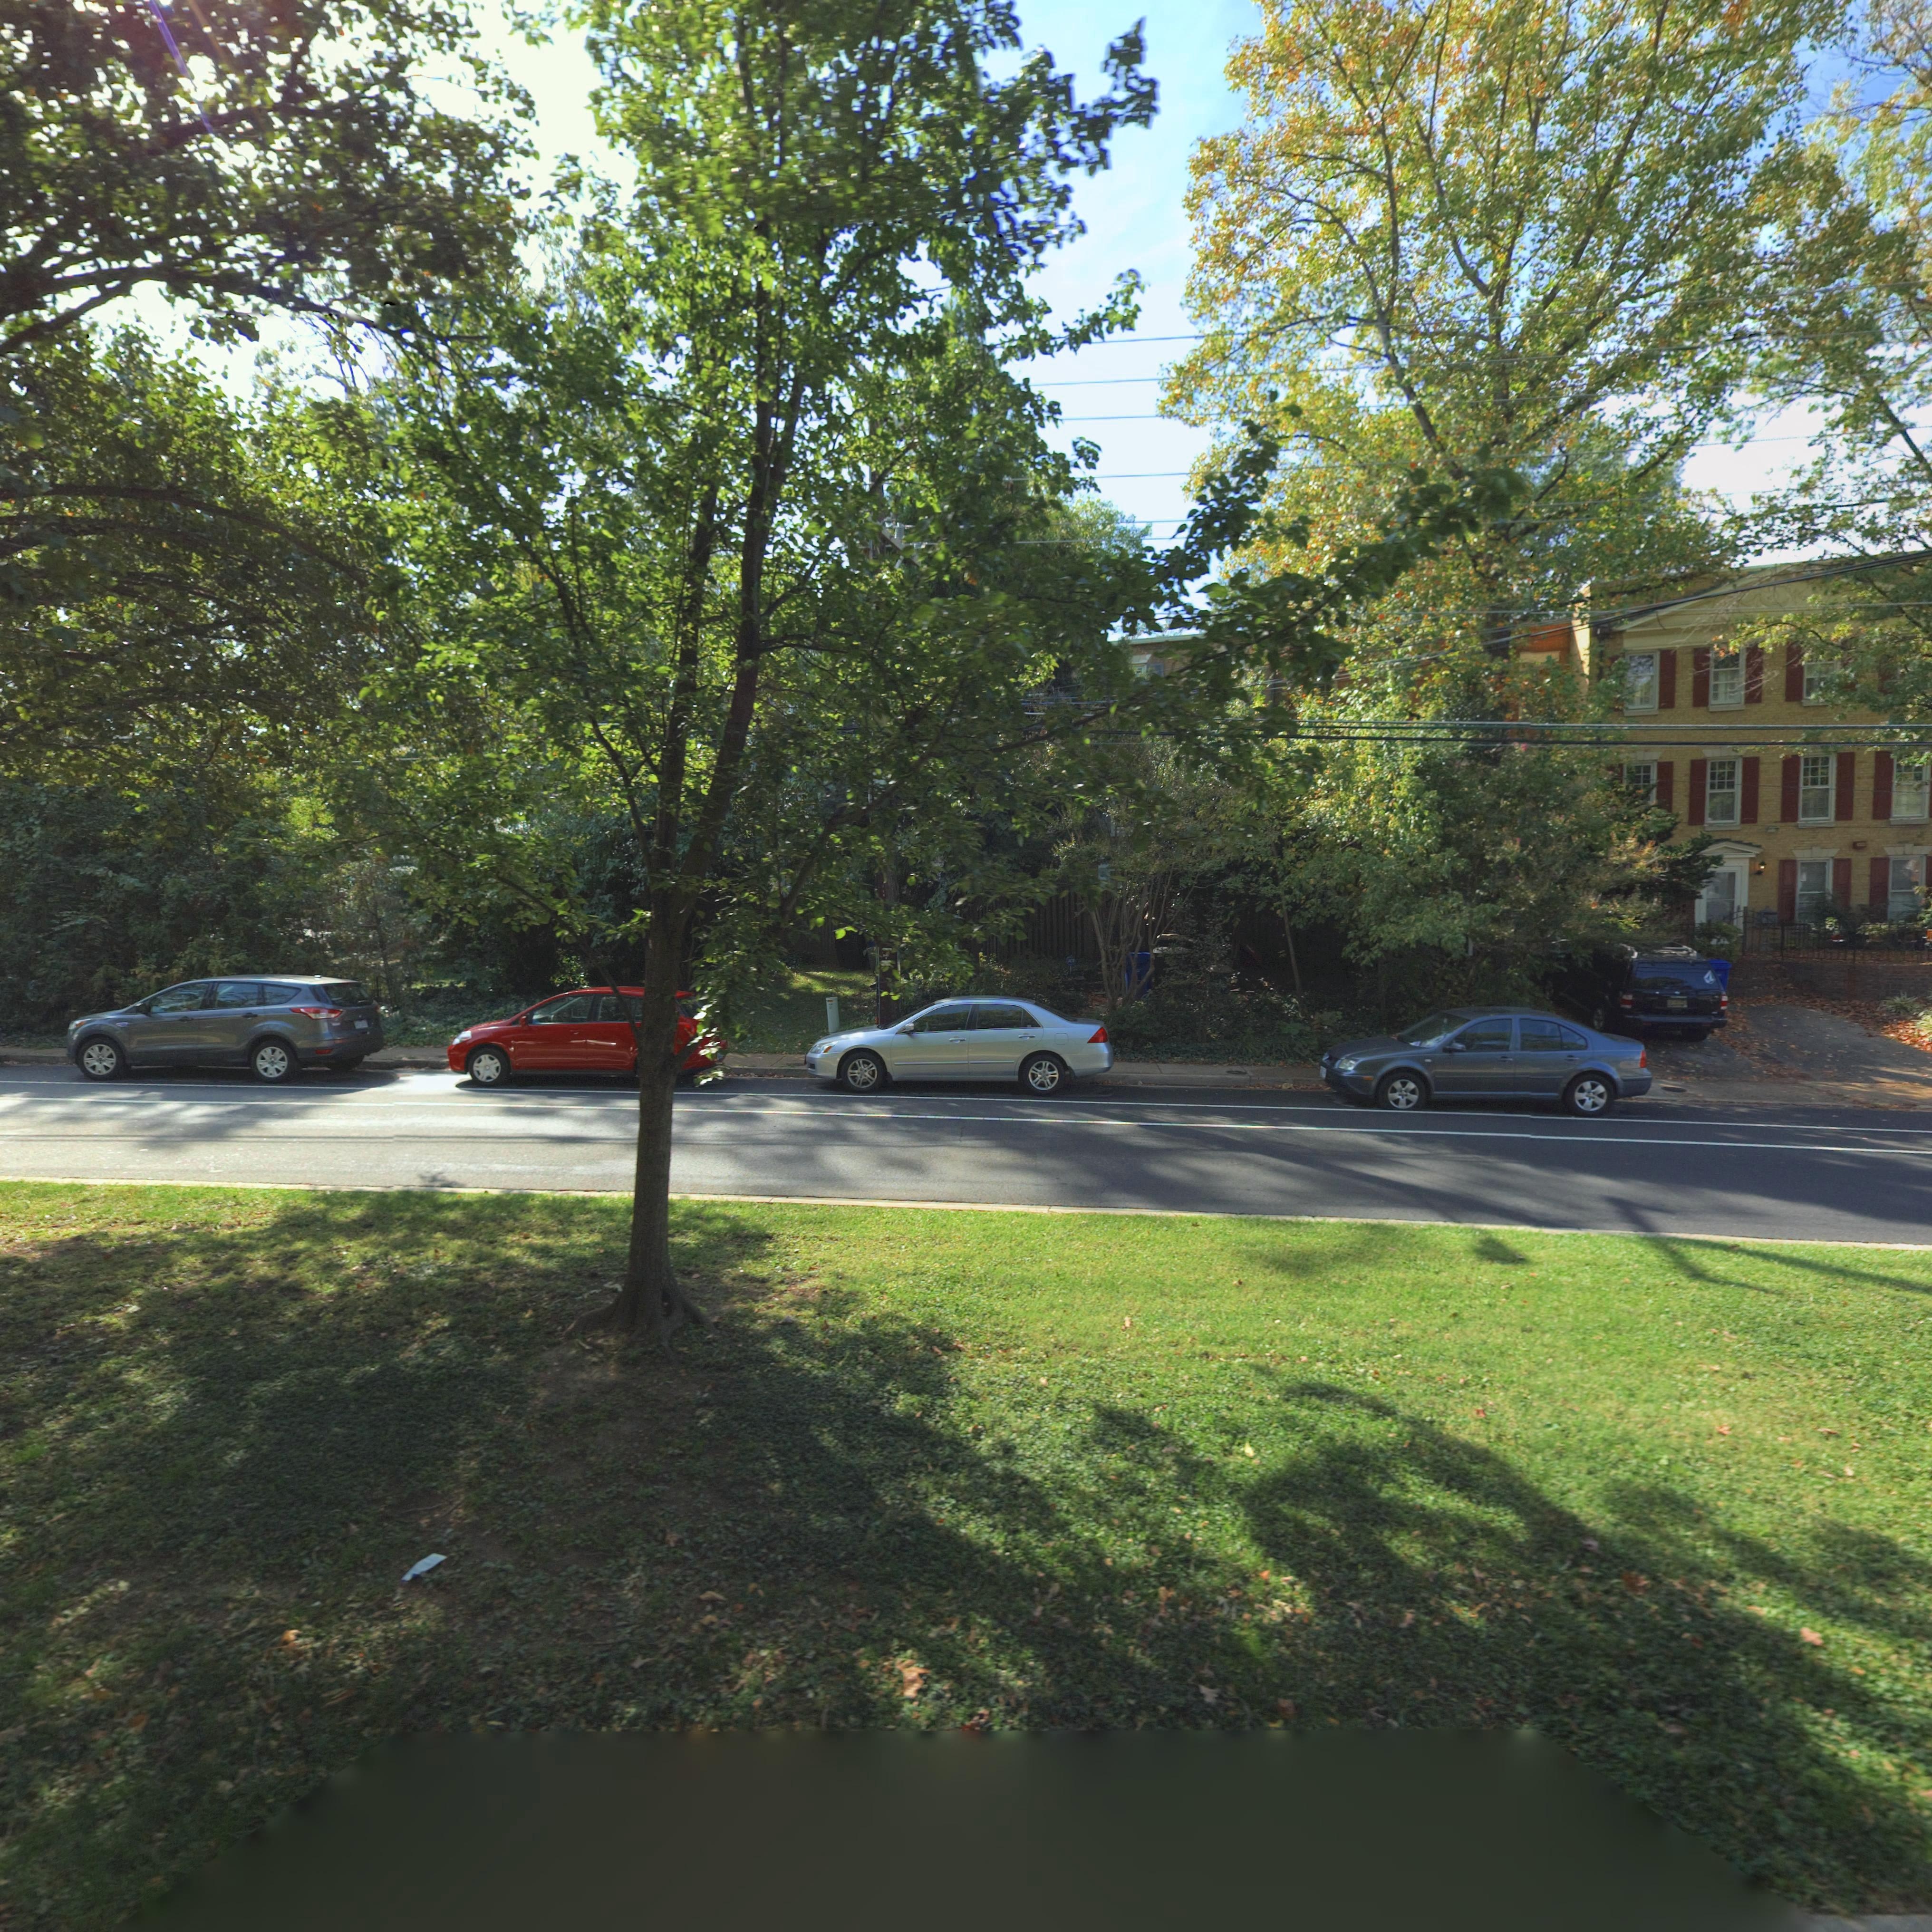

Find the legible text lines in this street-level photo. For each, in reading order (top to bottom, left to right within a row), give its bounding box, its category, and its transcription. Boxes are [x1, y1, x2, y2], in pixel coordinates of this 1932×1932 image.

[1067, 958, 1075, 963] None: AD*